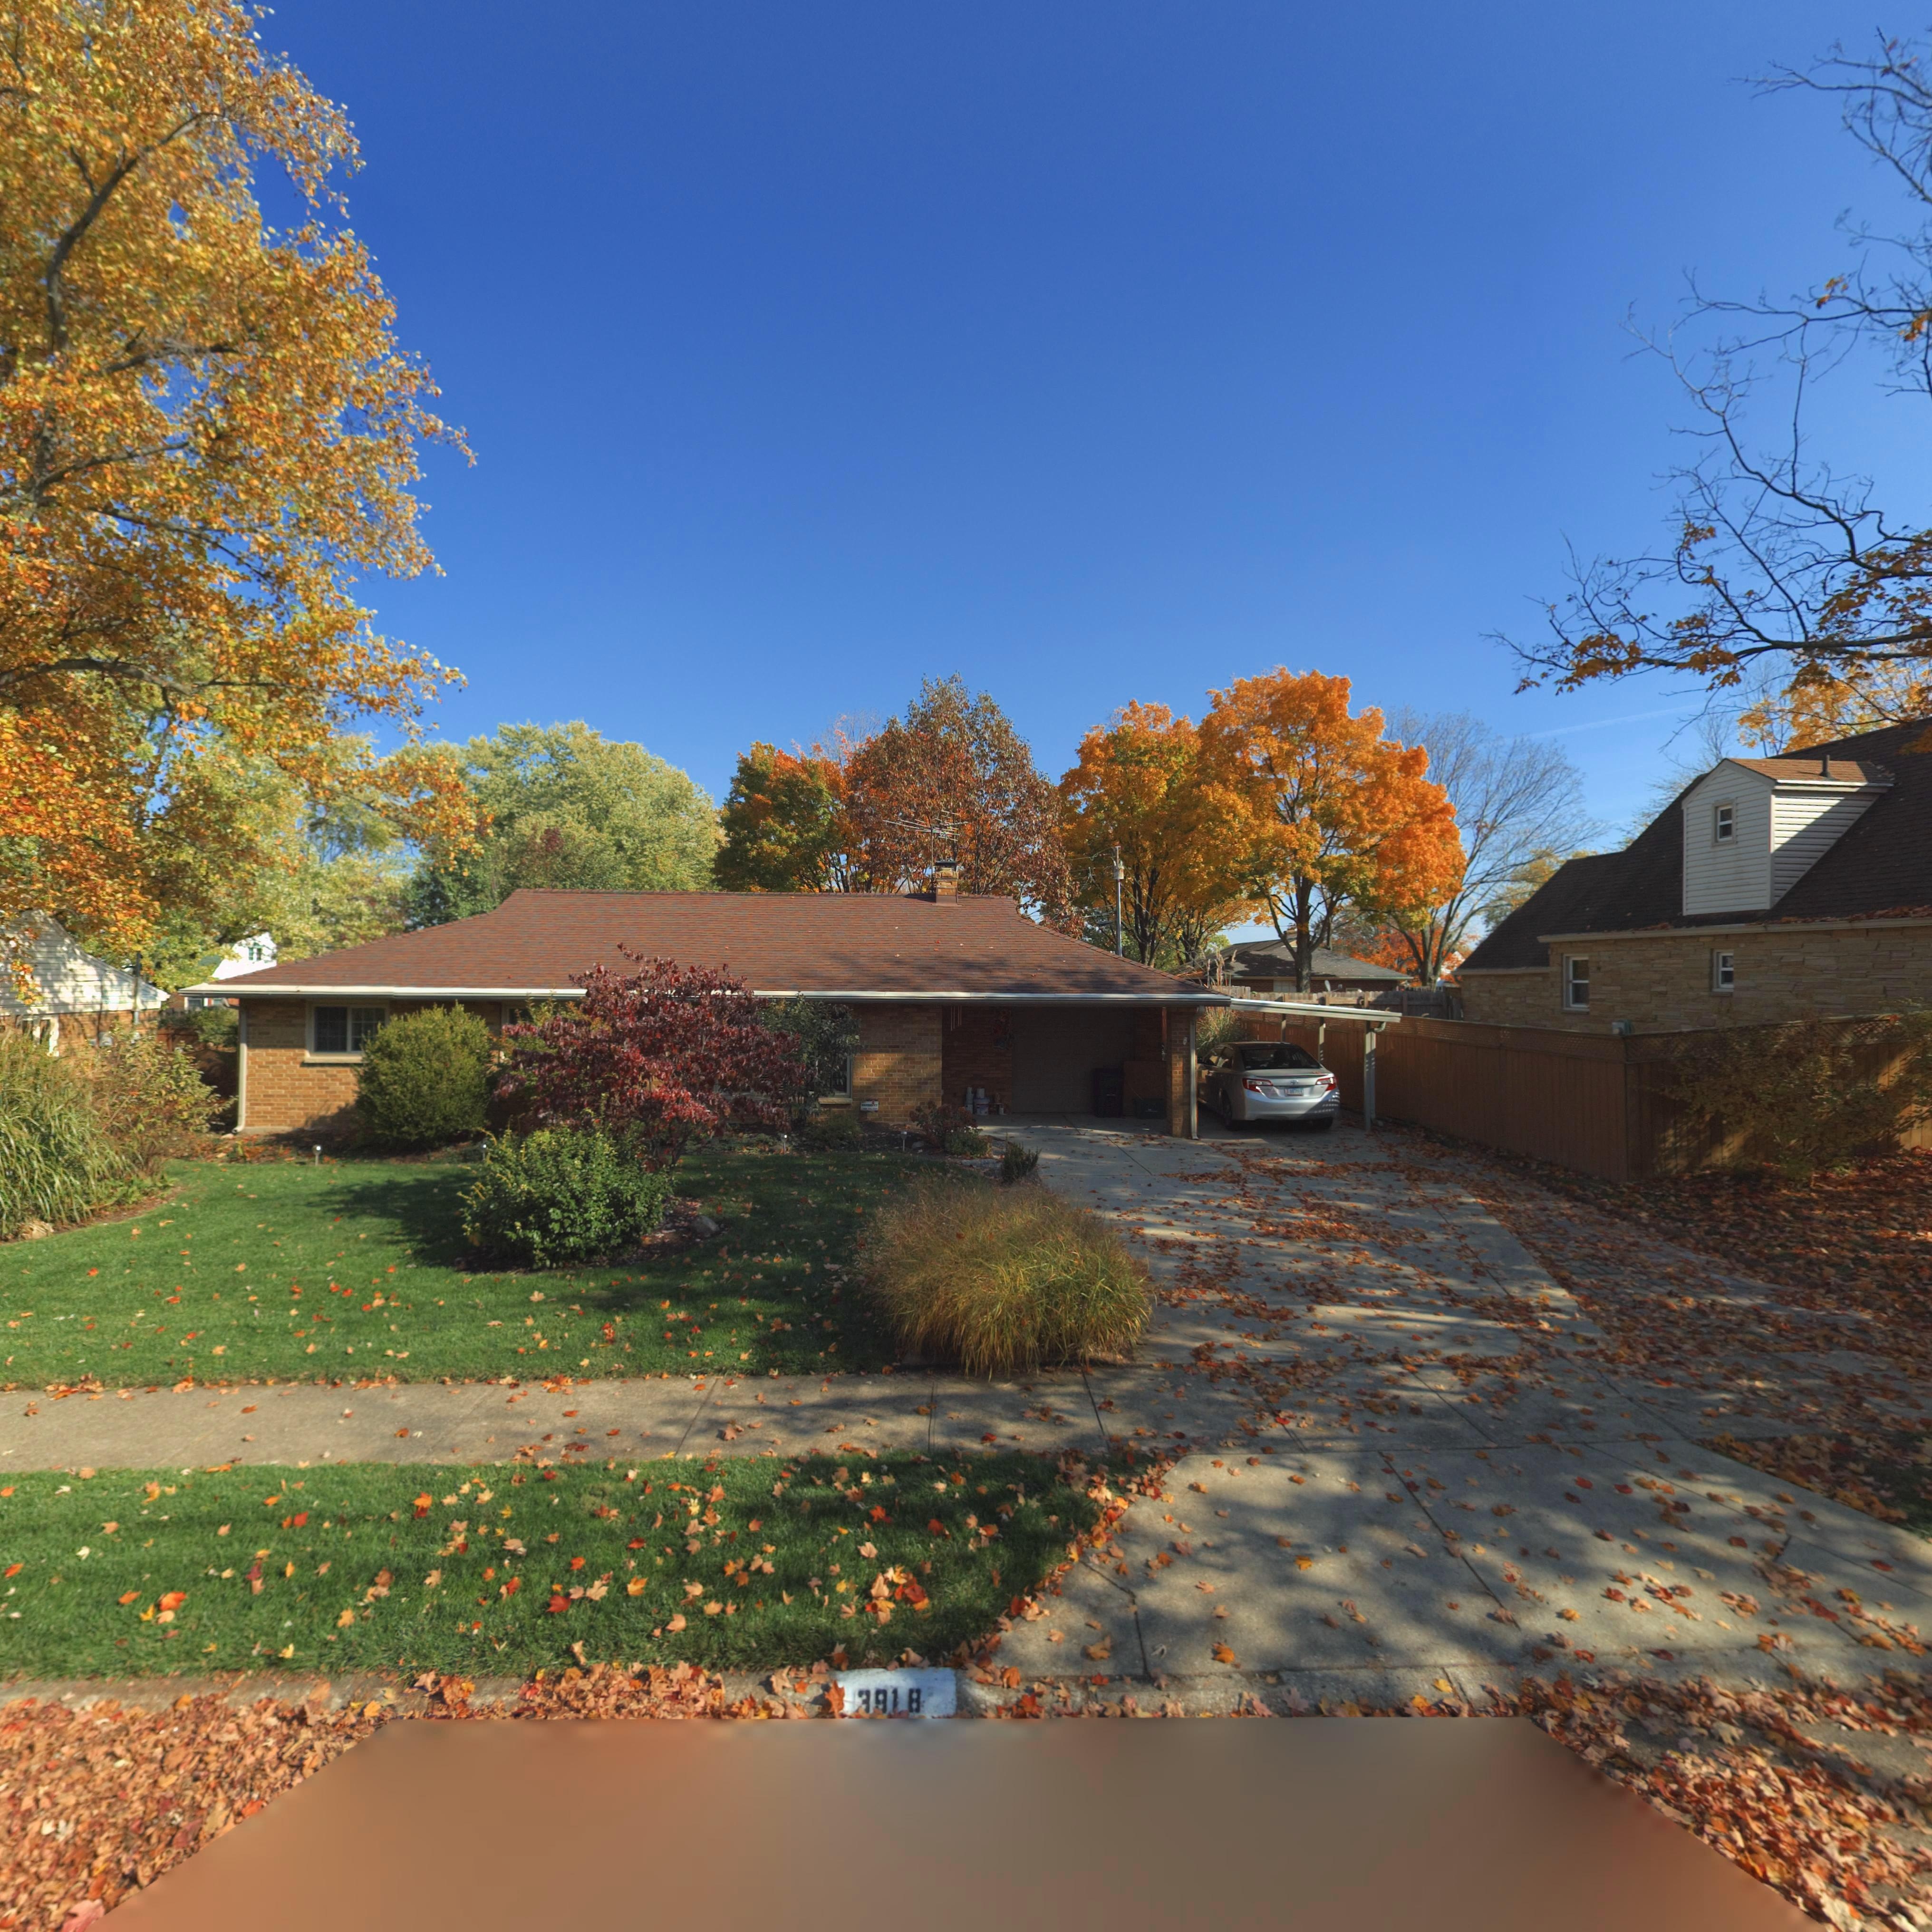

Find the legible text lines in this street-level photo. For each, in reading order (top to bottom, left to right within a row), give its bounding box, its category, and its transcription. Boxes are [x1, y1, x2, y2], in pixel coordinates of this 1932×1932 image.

[856, 1687, 922, 1715] StreetNumber: *918